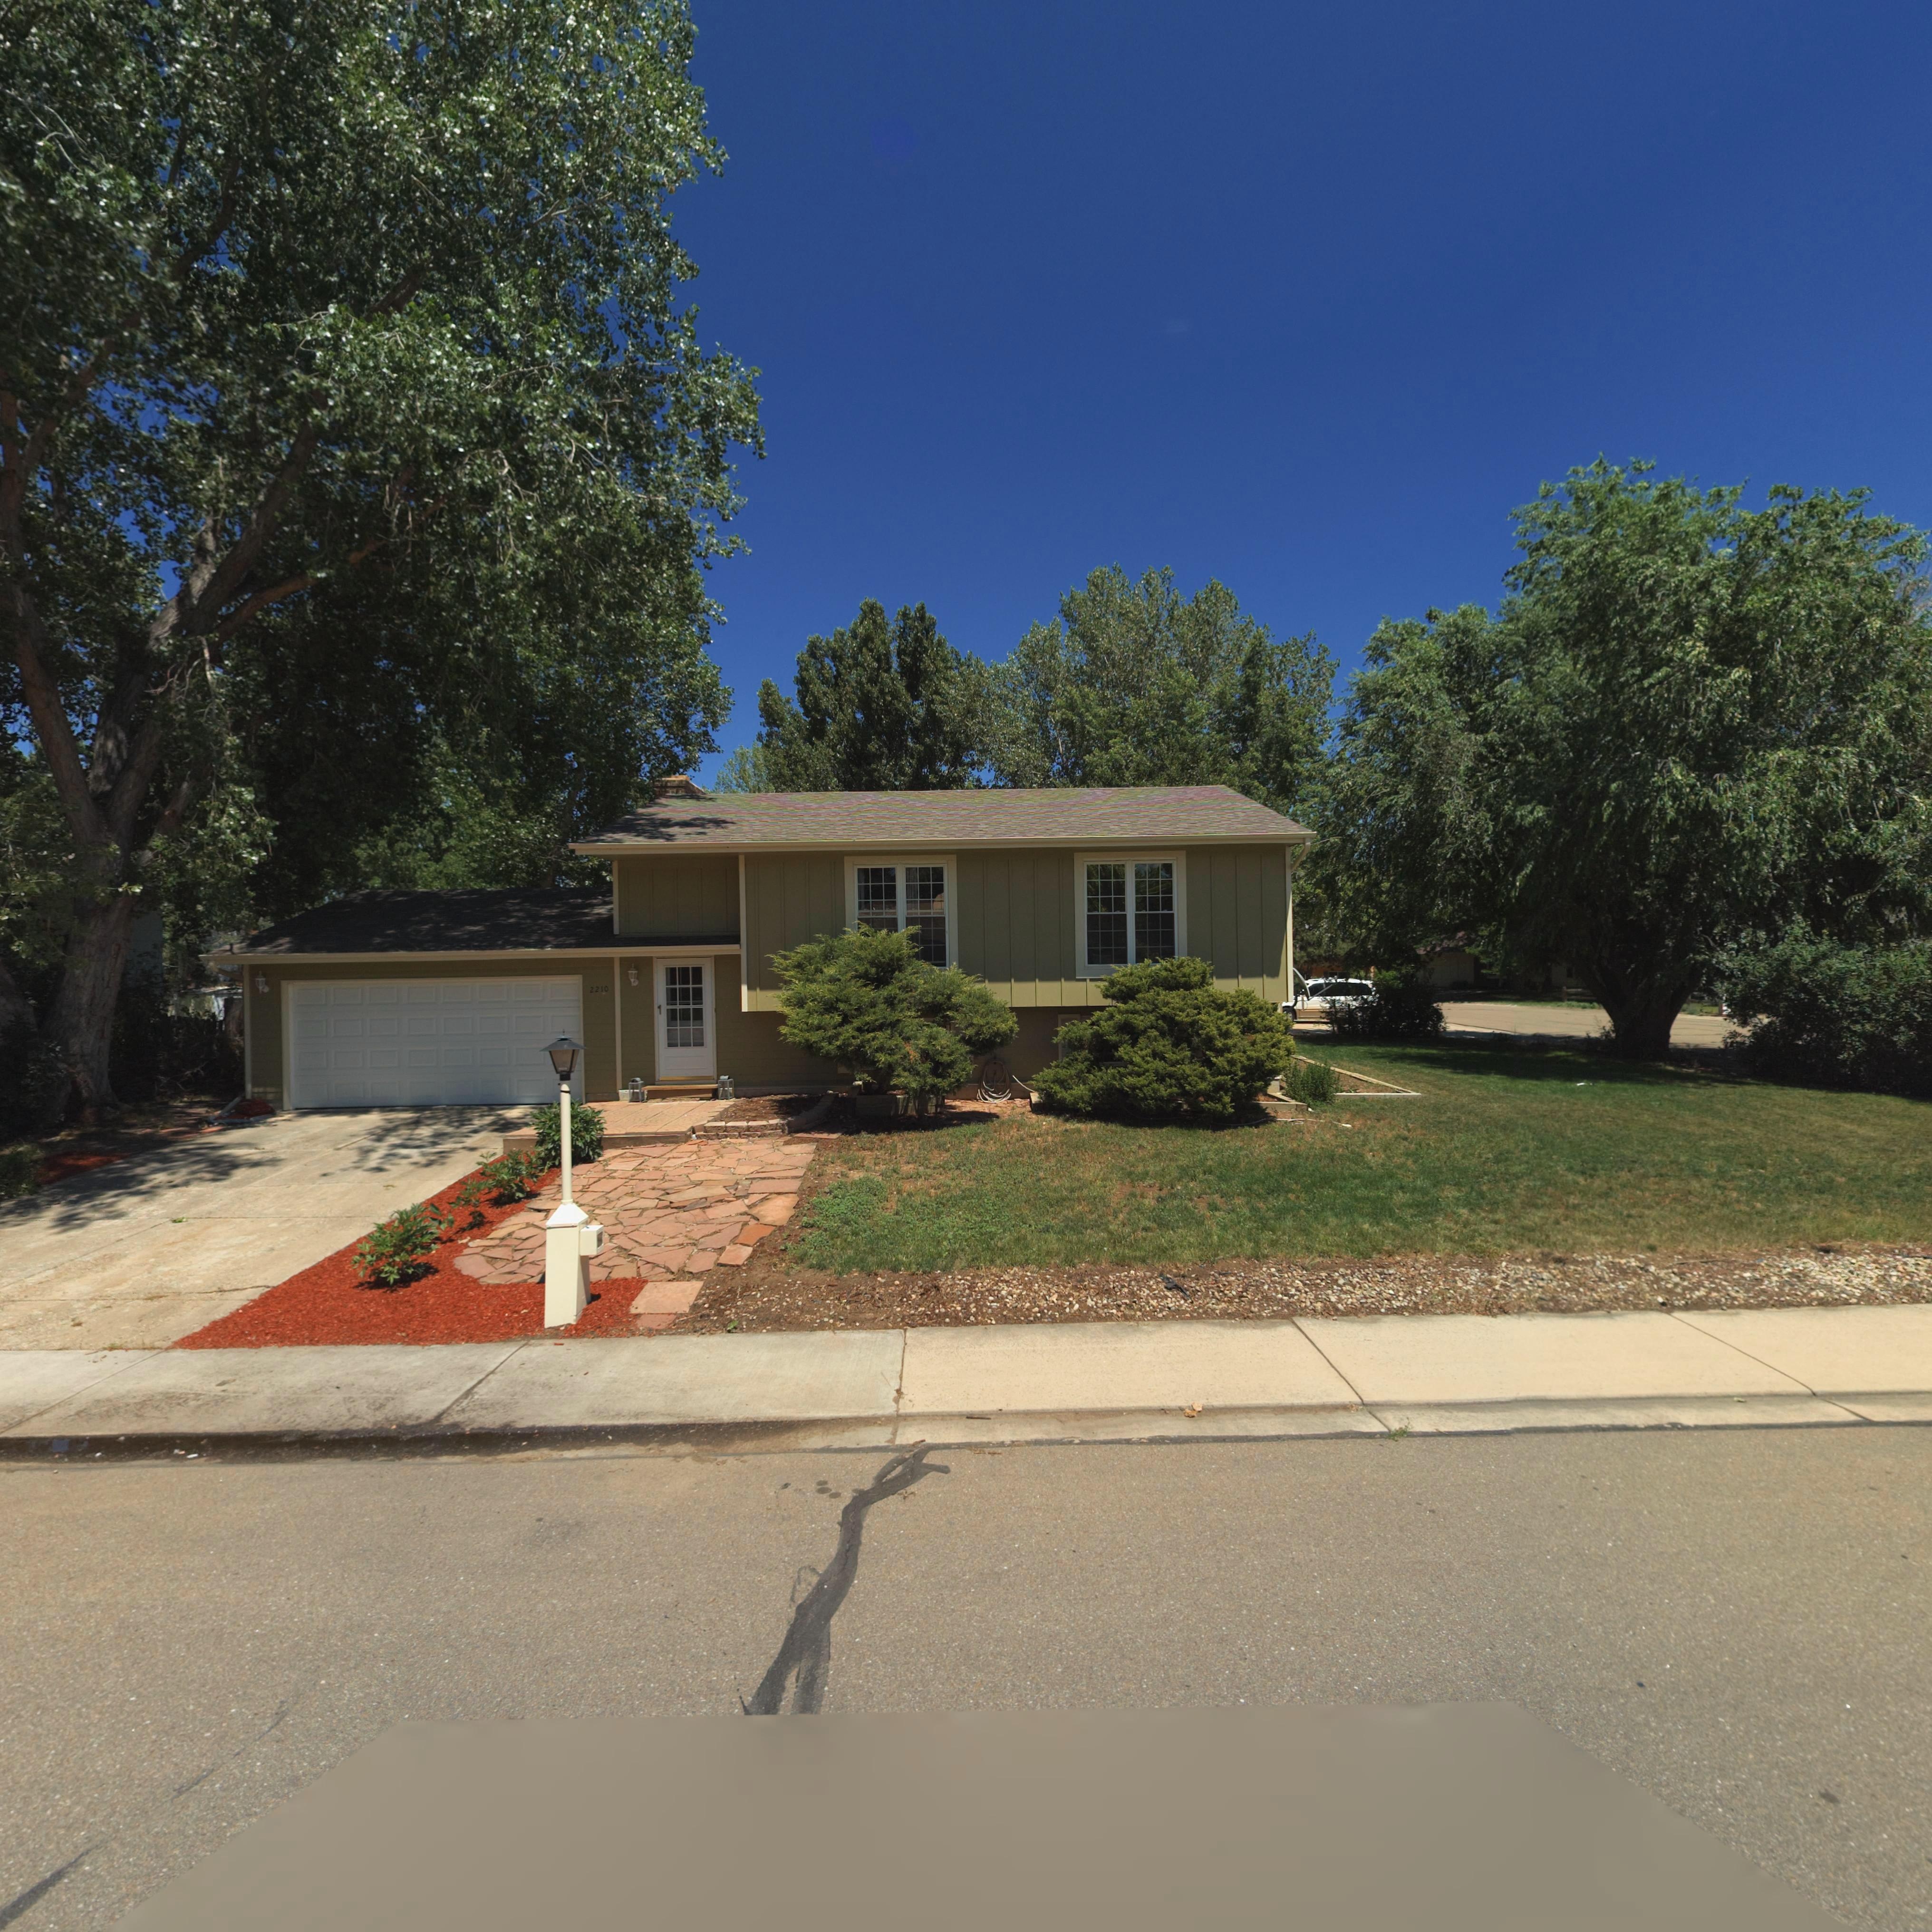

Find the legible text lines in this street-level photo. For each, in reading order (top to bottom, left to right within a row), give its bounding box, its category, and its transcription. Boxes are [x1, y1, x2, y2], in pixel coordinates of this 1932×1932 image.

[589, 985, 609, 993] StreetNumber: 2210